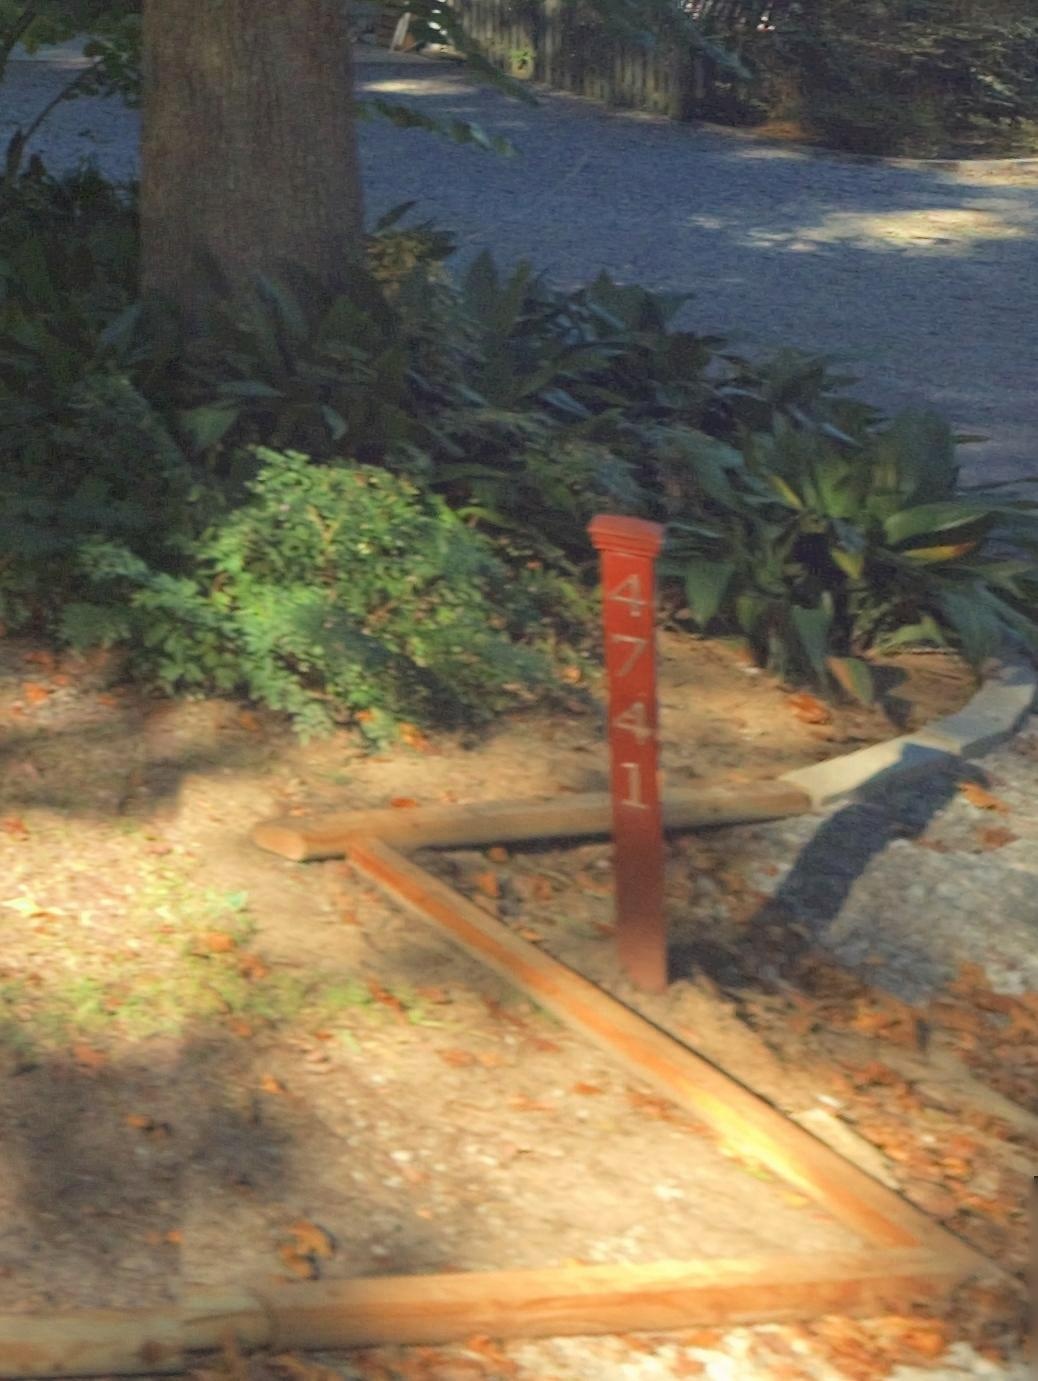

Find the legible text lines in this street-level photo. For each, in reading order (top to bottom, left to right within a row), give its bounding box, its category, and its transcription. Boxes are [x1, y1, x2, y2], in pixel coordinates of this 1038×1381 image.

[602, 562, 656, 816] StreetNumber: 4741